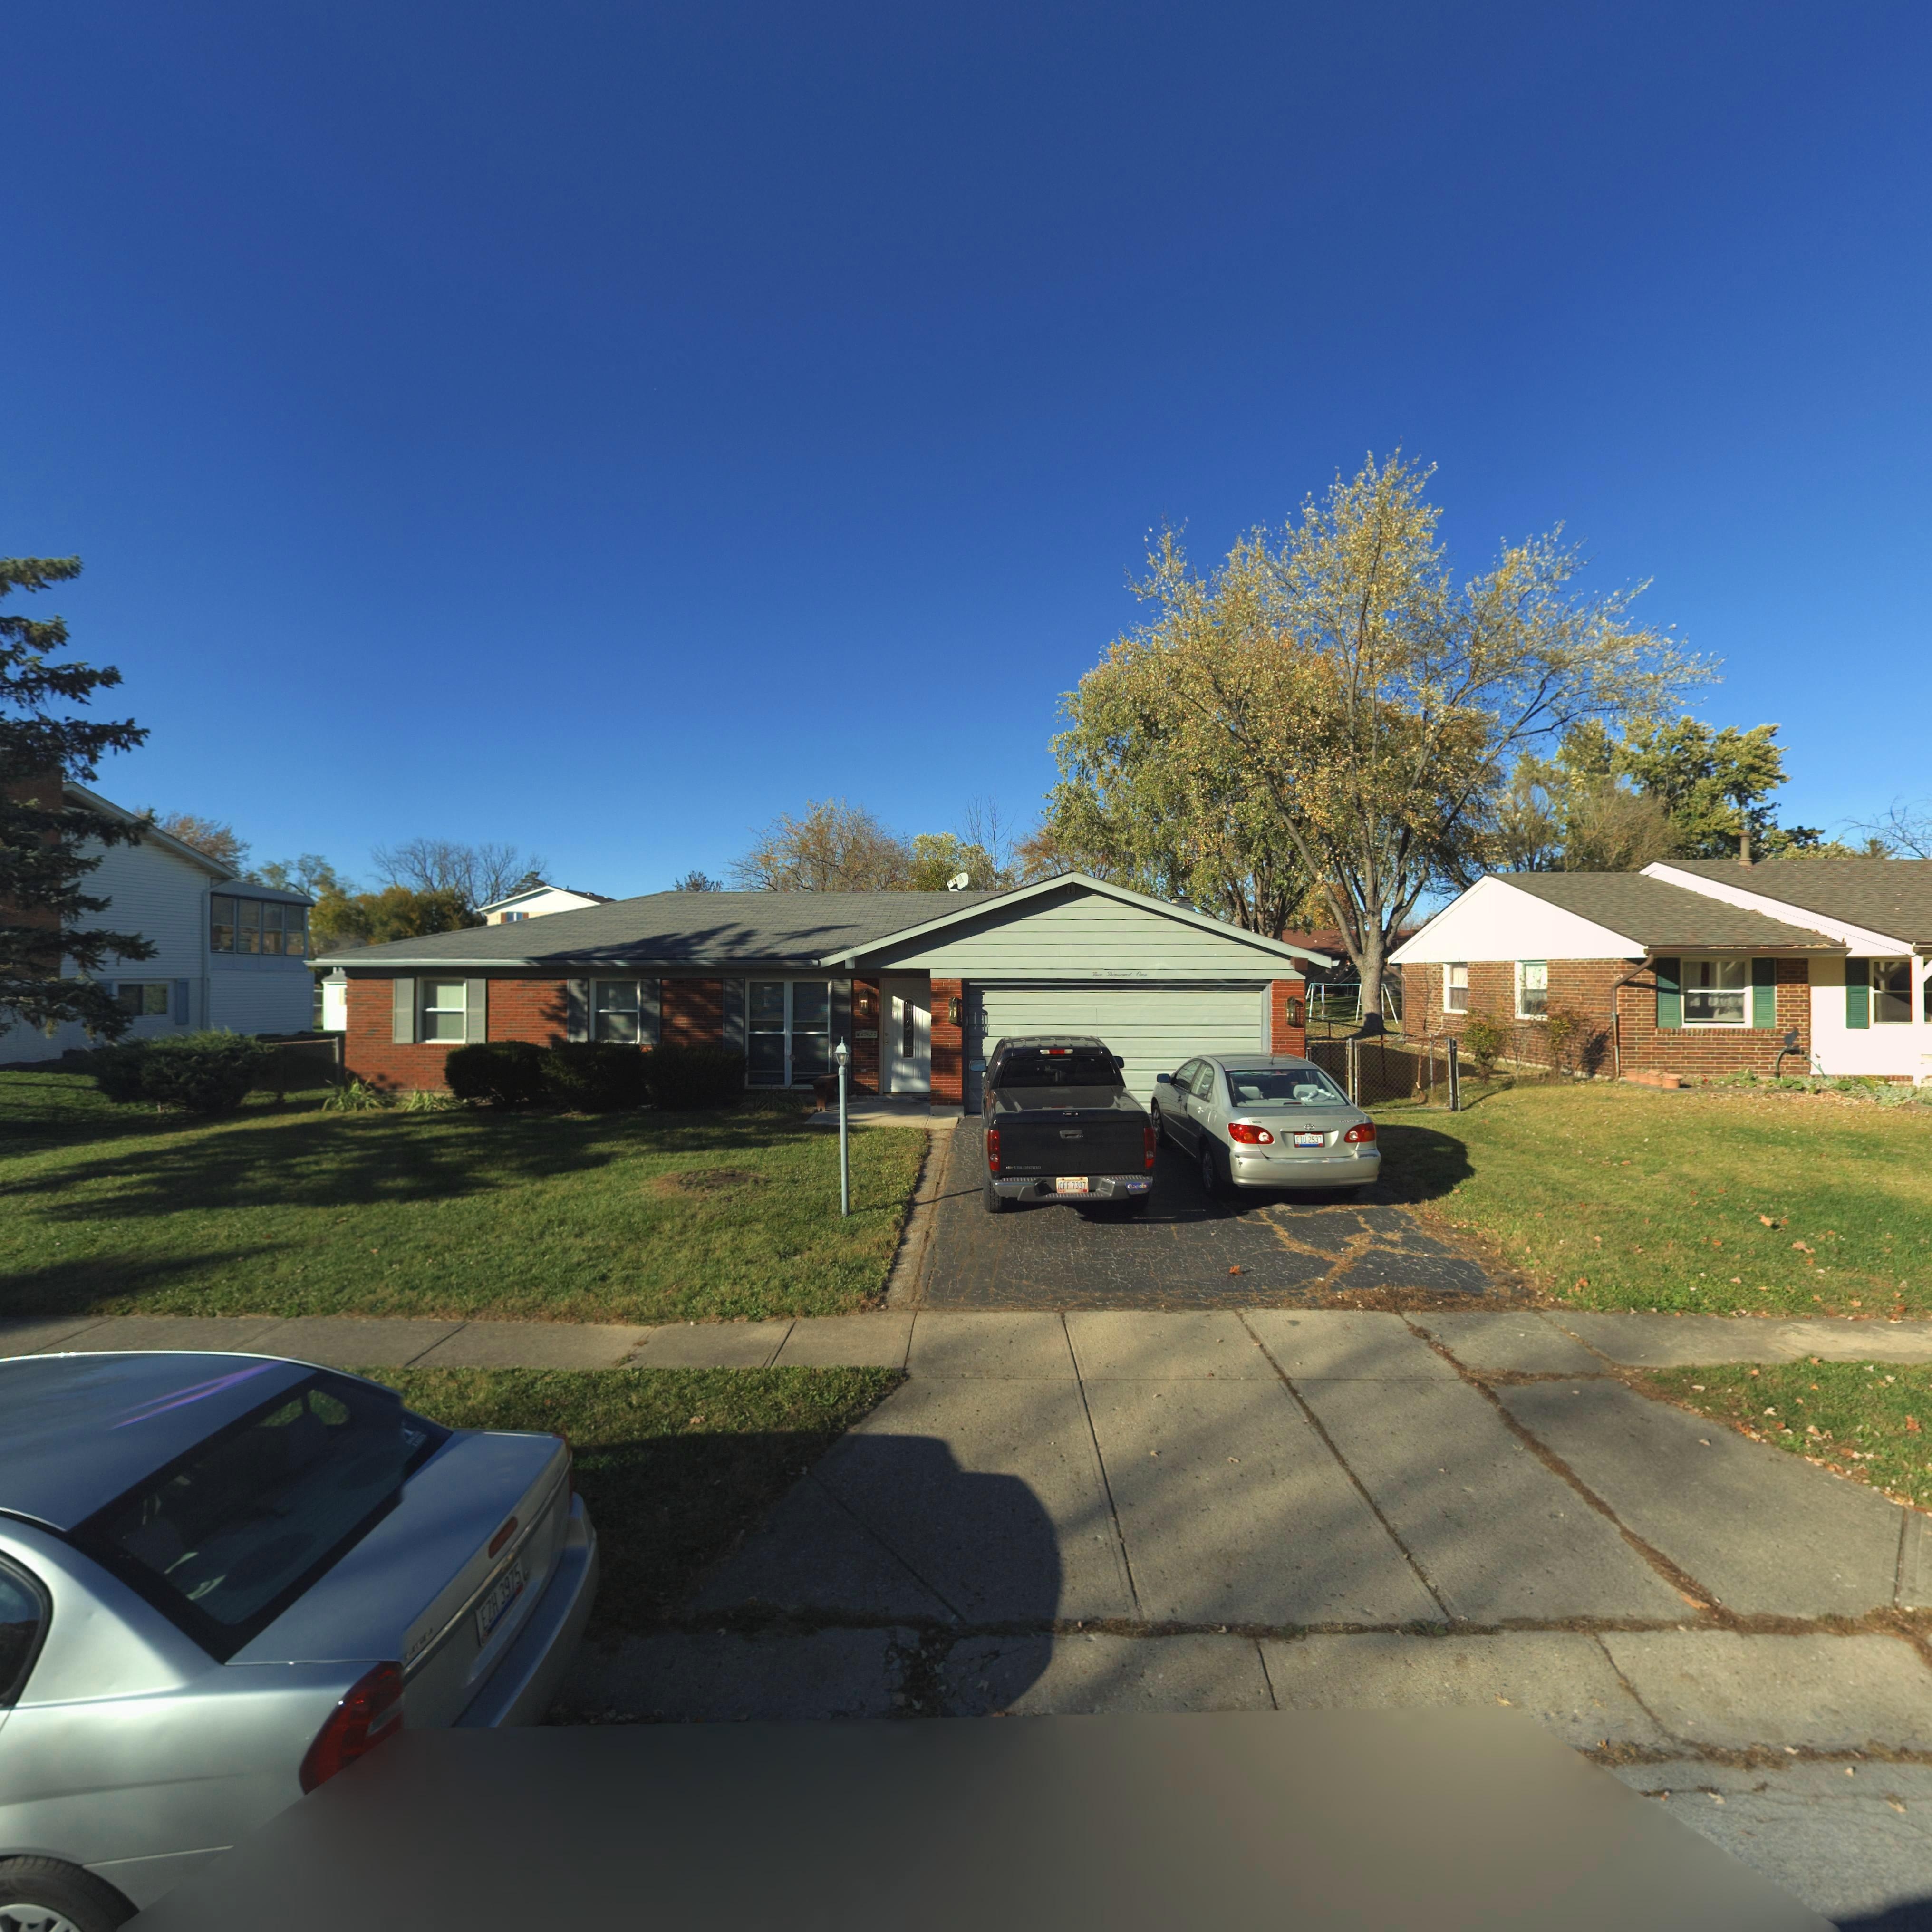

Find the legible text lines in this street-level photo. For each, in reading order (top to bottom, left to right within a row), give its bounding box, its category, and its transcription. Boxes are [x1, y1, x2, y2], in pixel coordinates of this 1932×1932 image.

[1091, 971, 1148, 977] StreetNumber: Five Thousand One